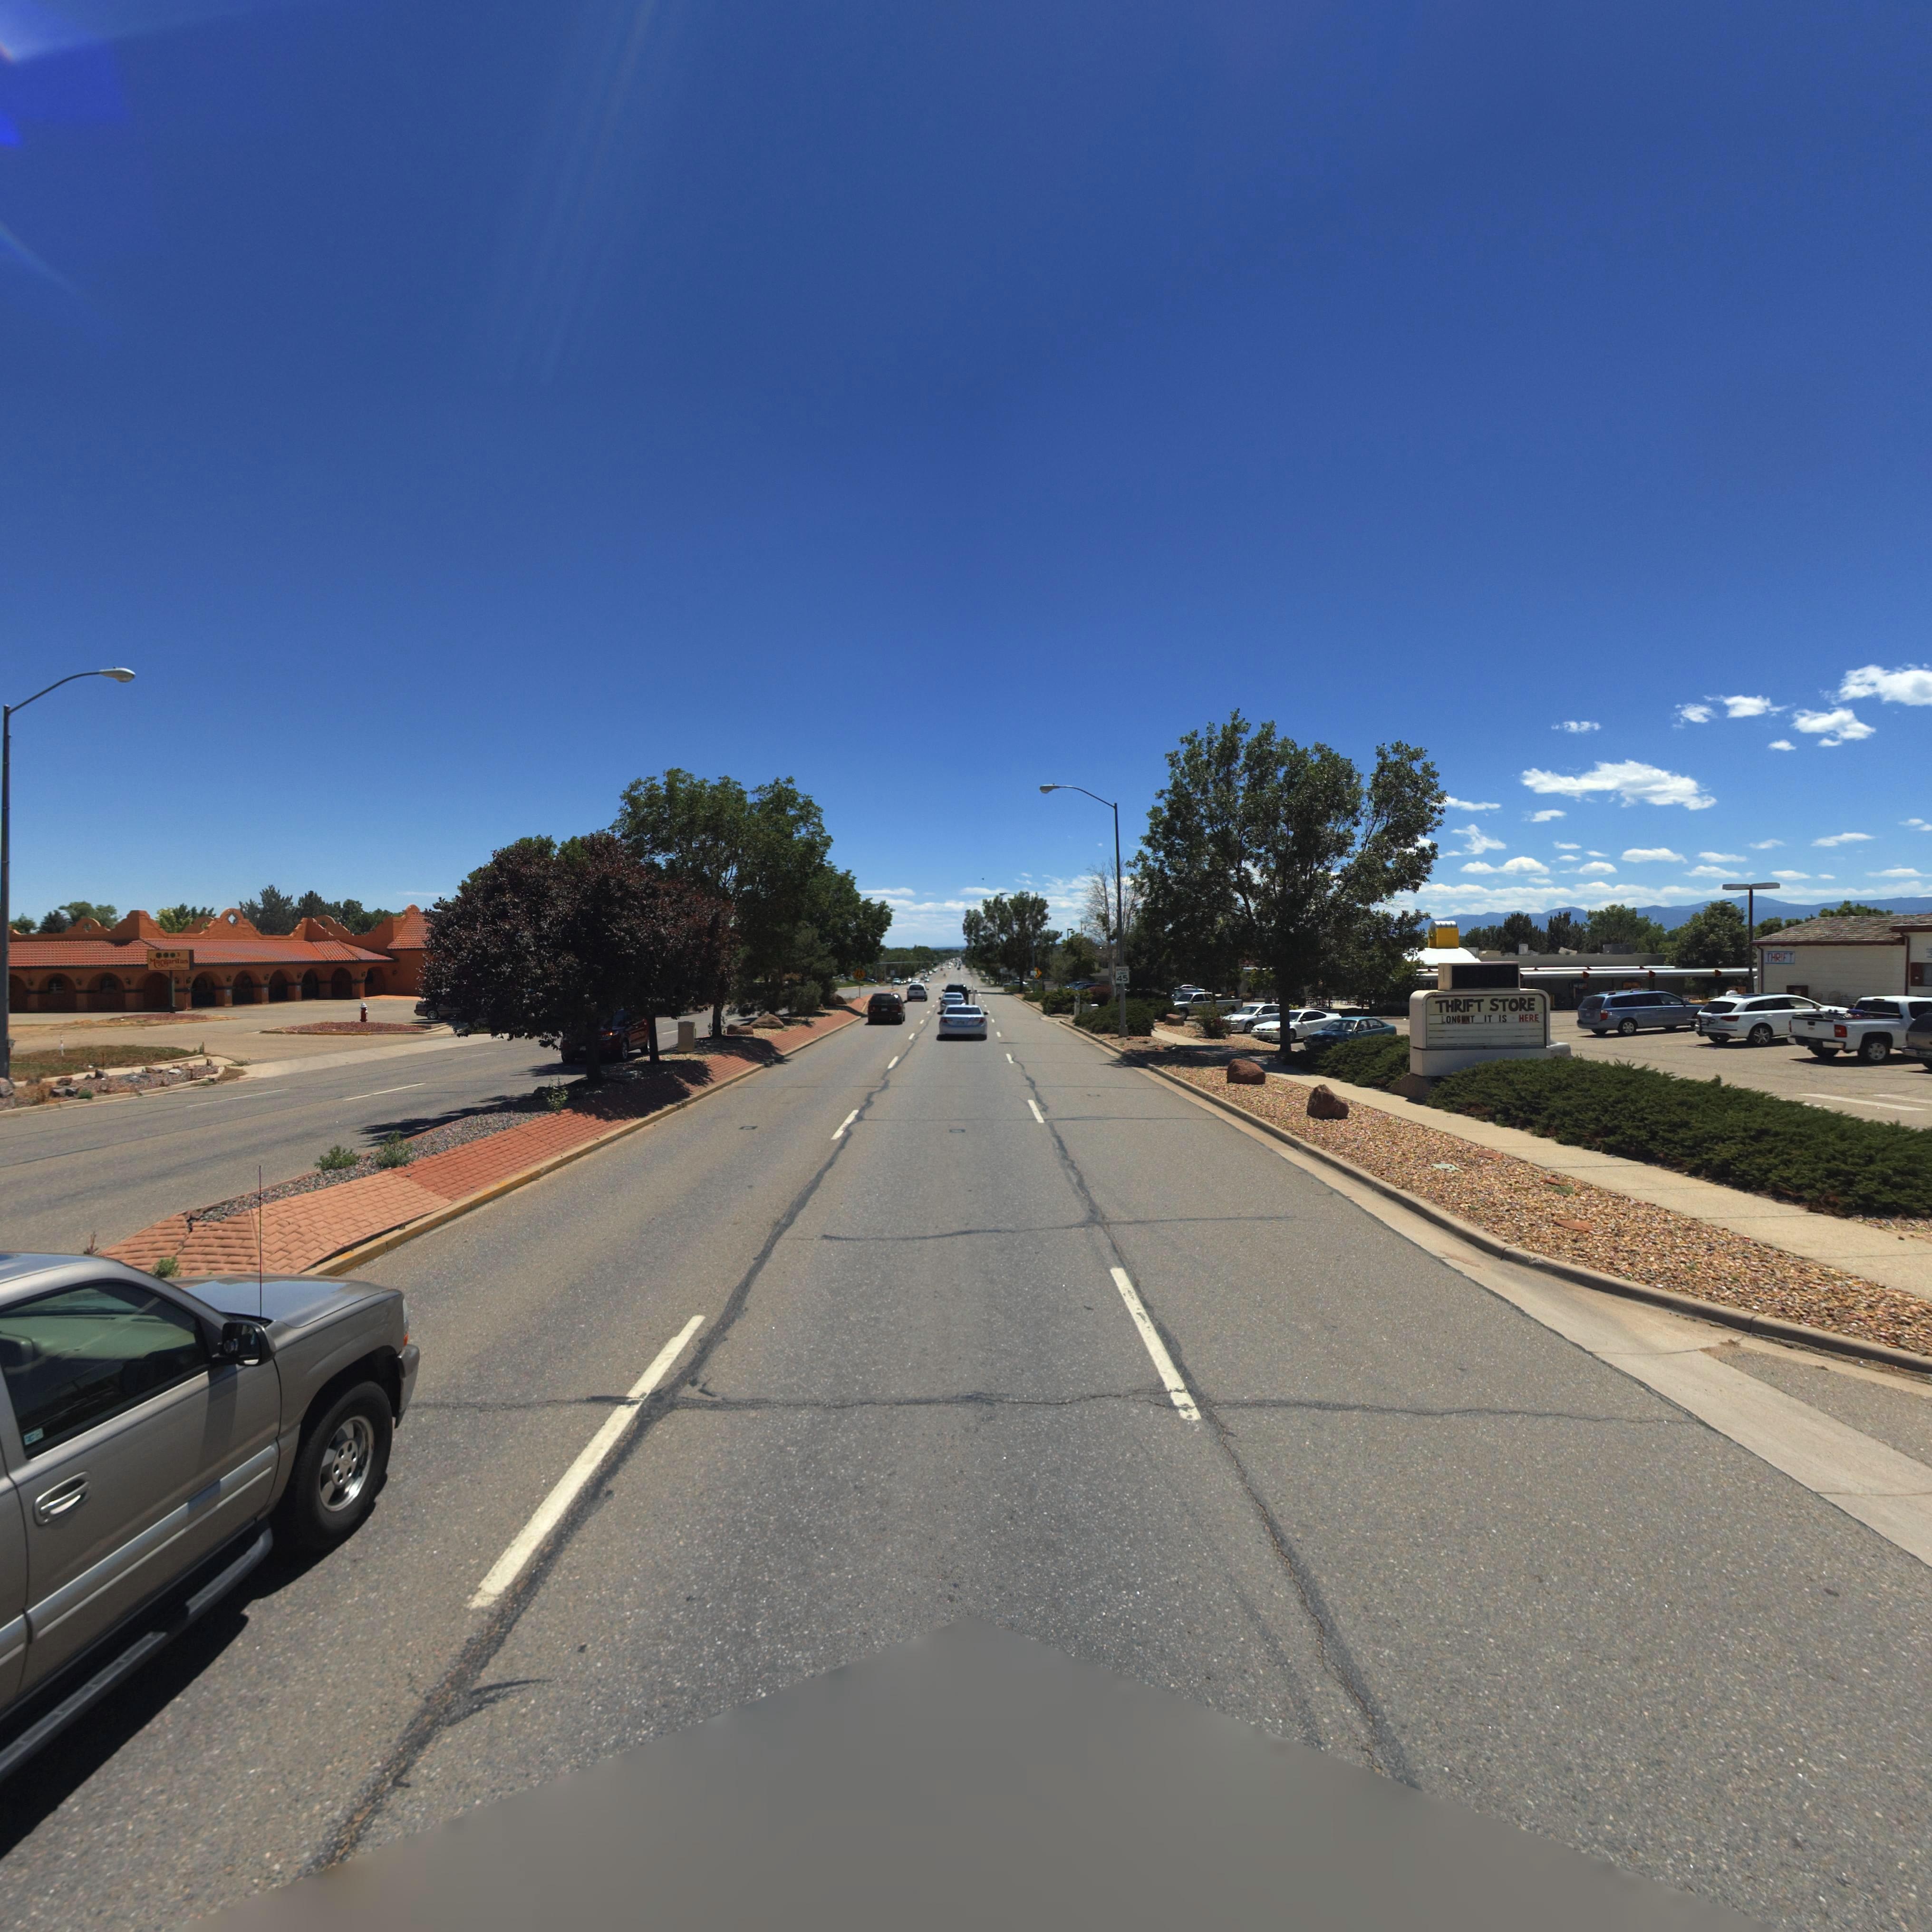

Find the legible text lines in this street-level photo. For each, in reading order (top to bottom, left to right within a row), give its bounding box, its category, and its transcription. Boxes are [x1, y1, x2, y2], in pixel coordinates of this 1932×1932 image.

[149, 957, 188, 969] BusinessName: M**g******